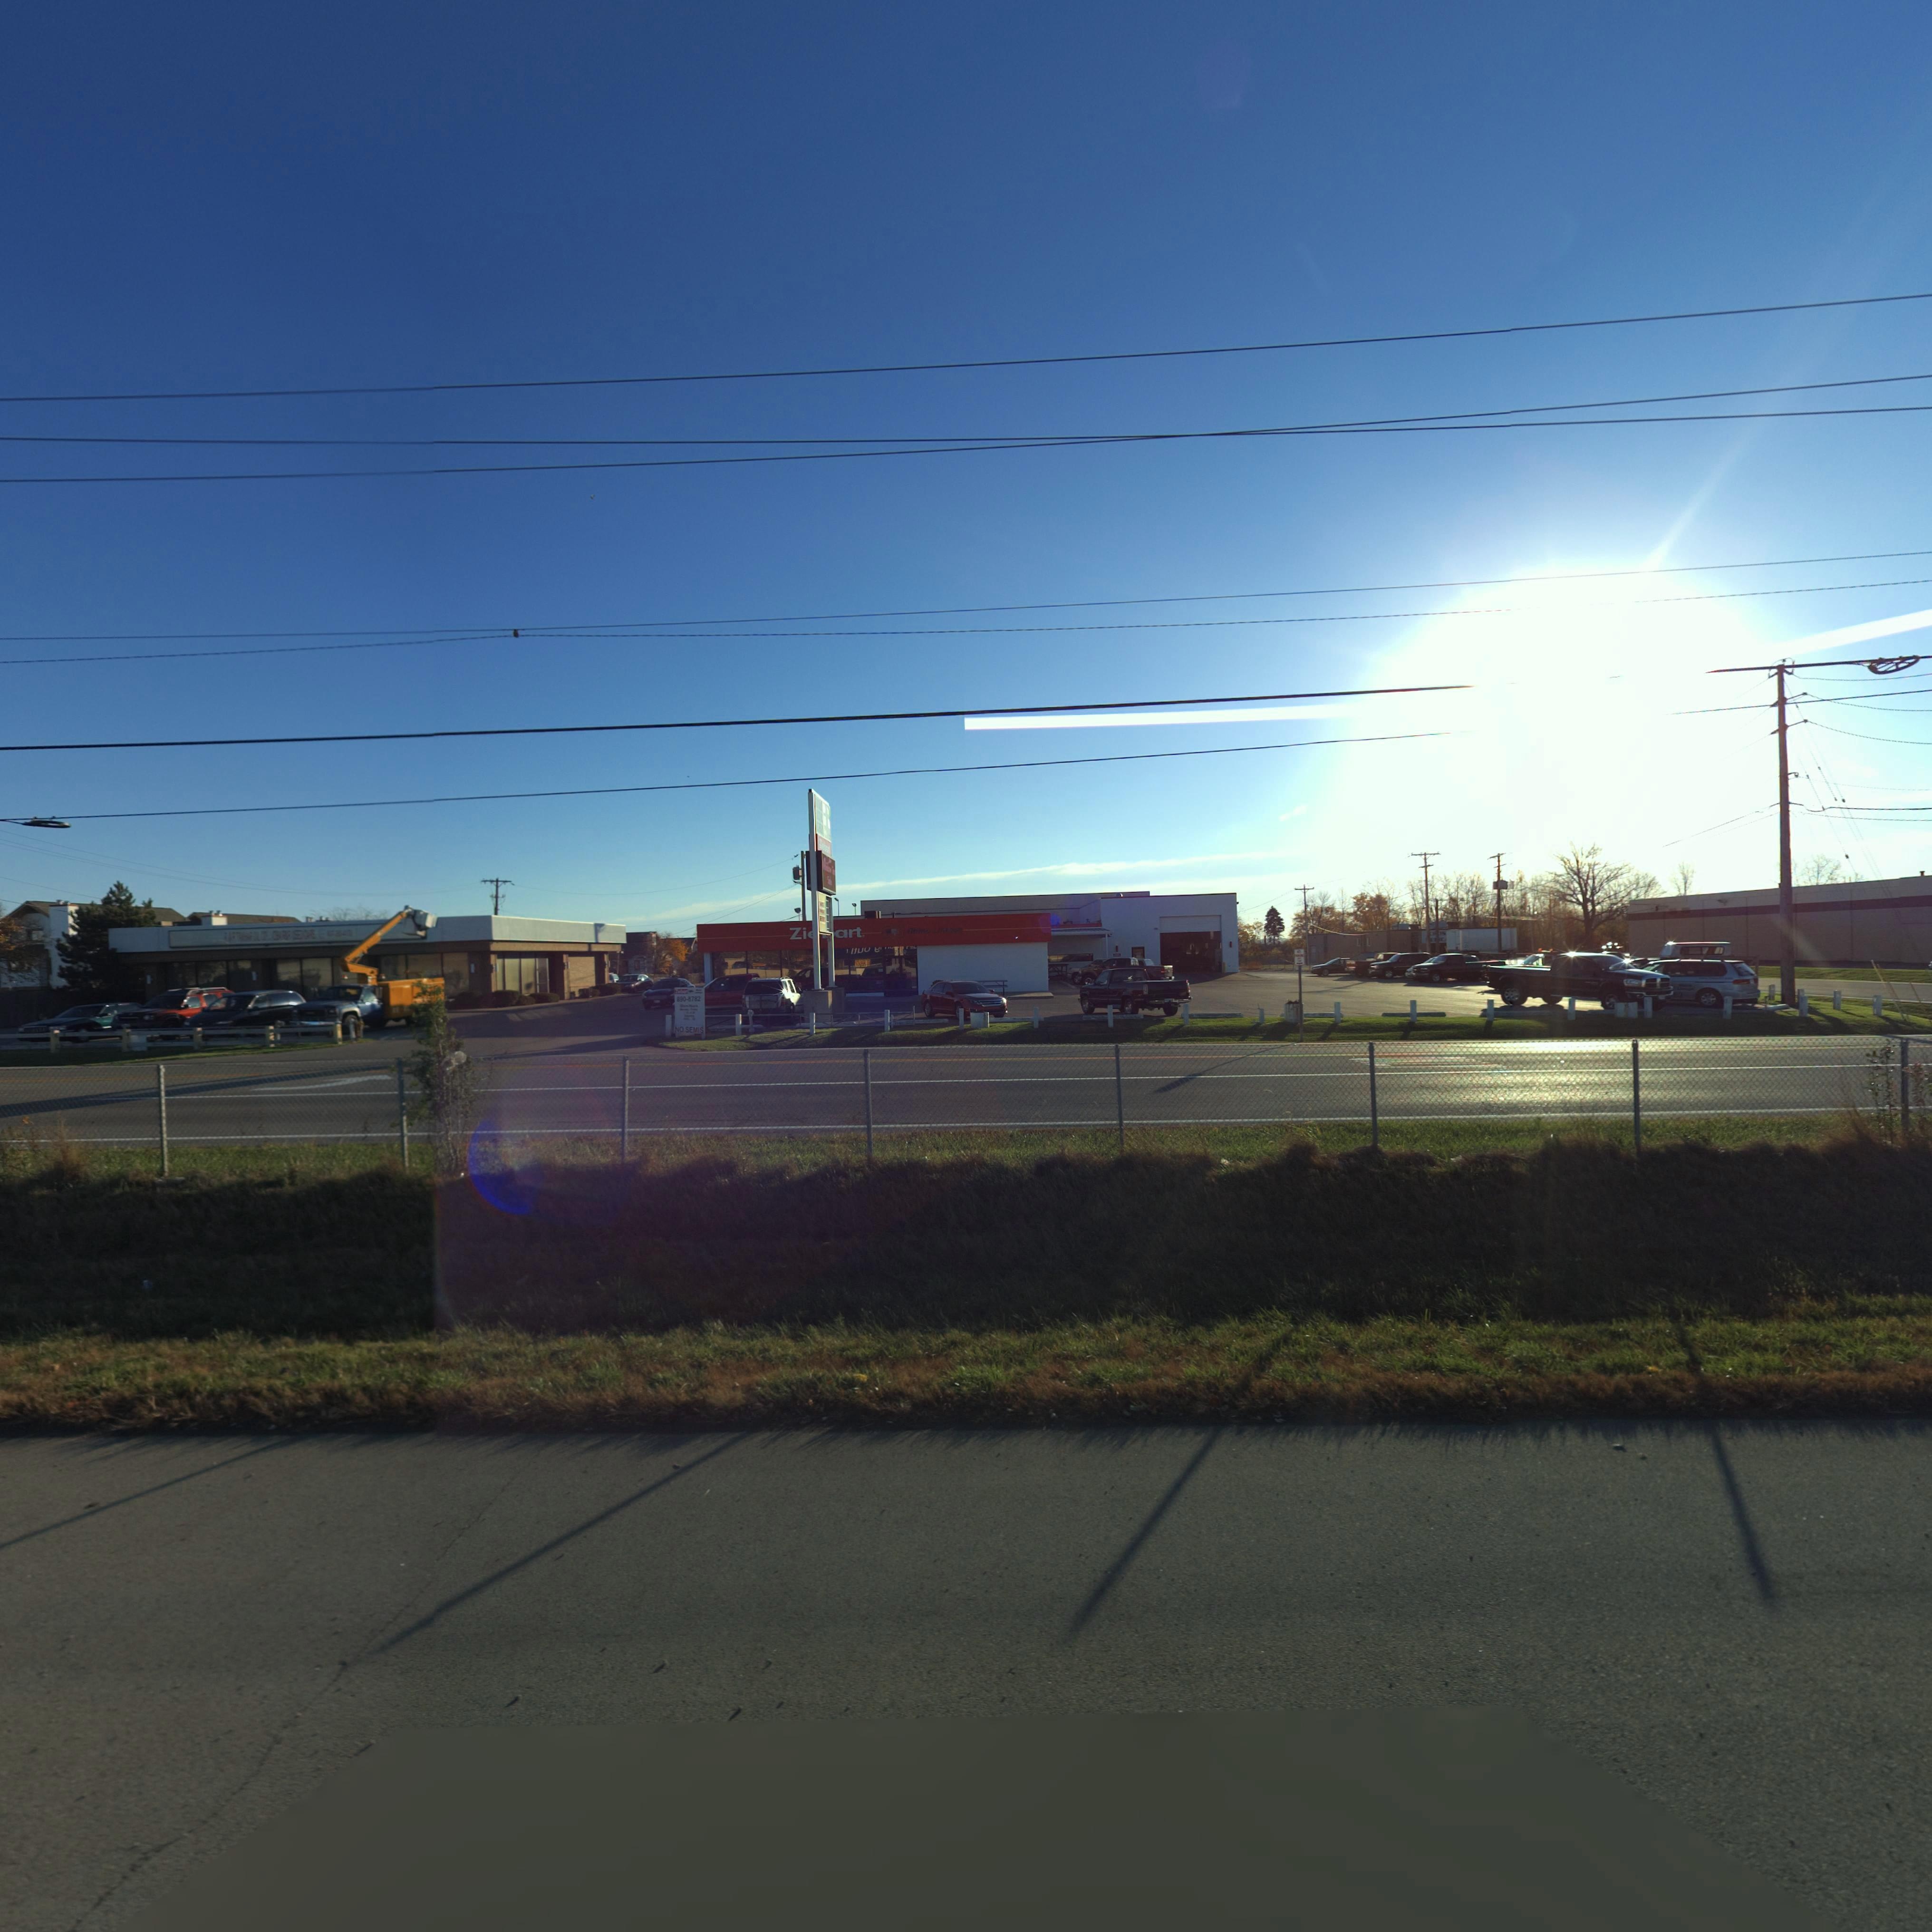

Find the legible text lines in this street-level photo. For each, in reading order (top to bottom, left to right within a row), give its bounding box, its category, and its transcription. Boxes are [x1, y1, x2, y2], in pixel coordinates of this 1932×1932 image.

[788, 926, 809, 944] BusinessName: Zi
[833, 923, 864, 941] BusinessName: art
[903, 948, 907, 955] StreetNumber: 0
[675, 994, 702, 1004] None: 890-8782
[673, 1024, 705, 1037] None: NO SEMIS